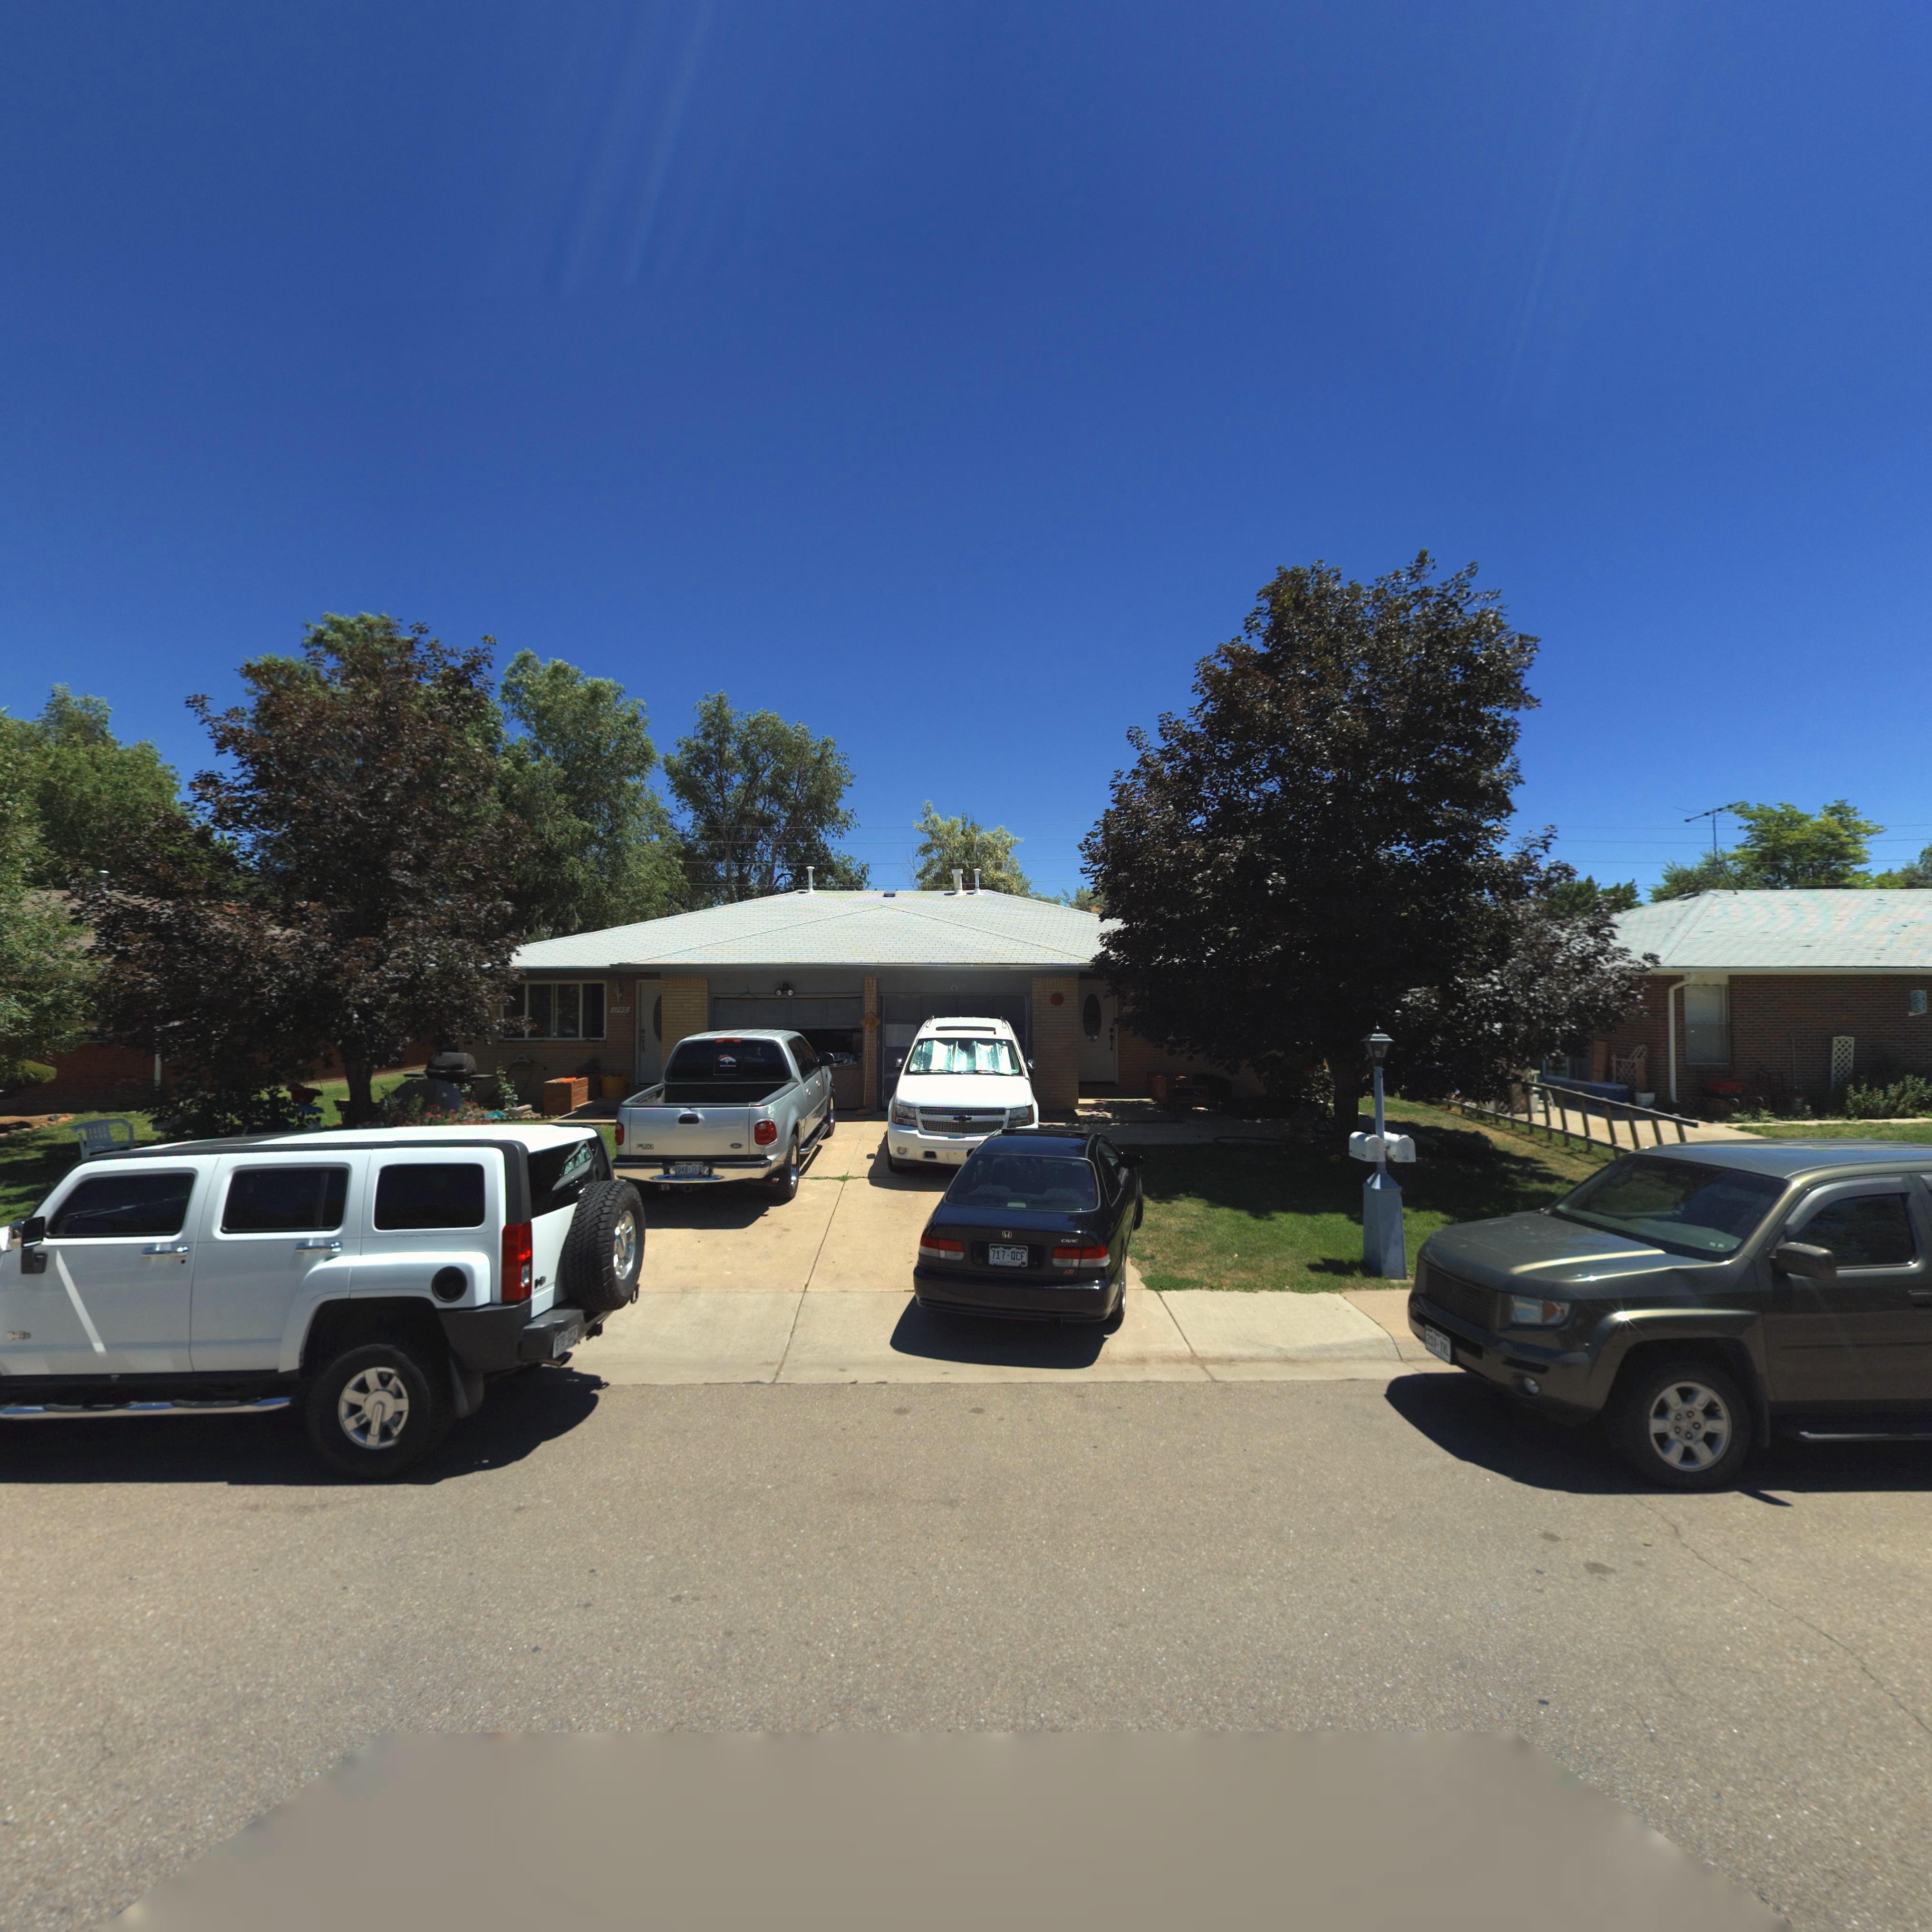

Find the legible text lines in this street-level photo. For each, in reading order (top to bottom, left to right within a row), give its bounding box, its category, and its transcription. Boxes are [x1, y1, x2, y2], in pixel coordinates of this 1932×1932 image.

[612, 1007, 628, 1012] StreetNumber: 1740
[1123, 1005, 1132, 1012] StreetNumber: 17